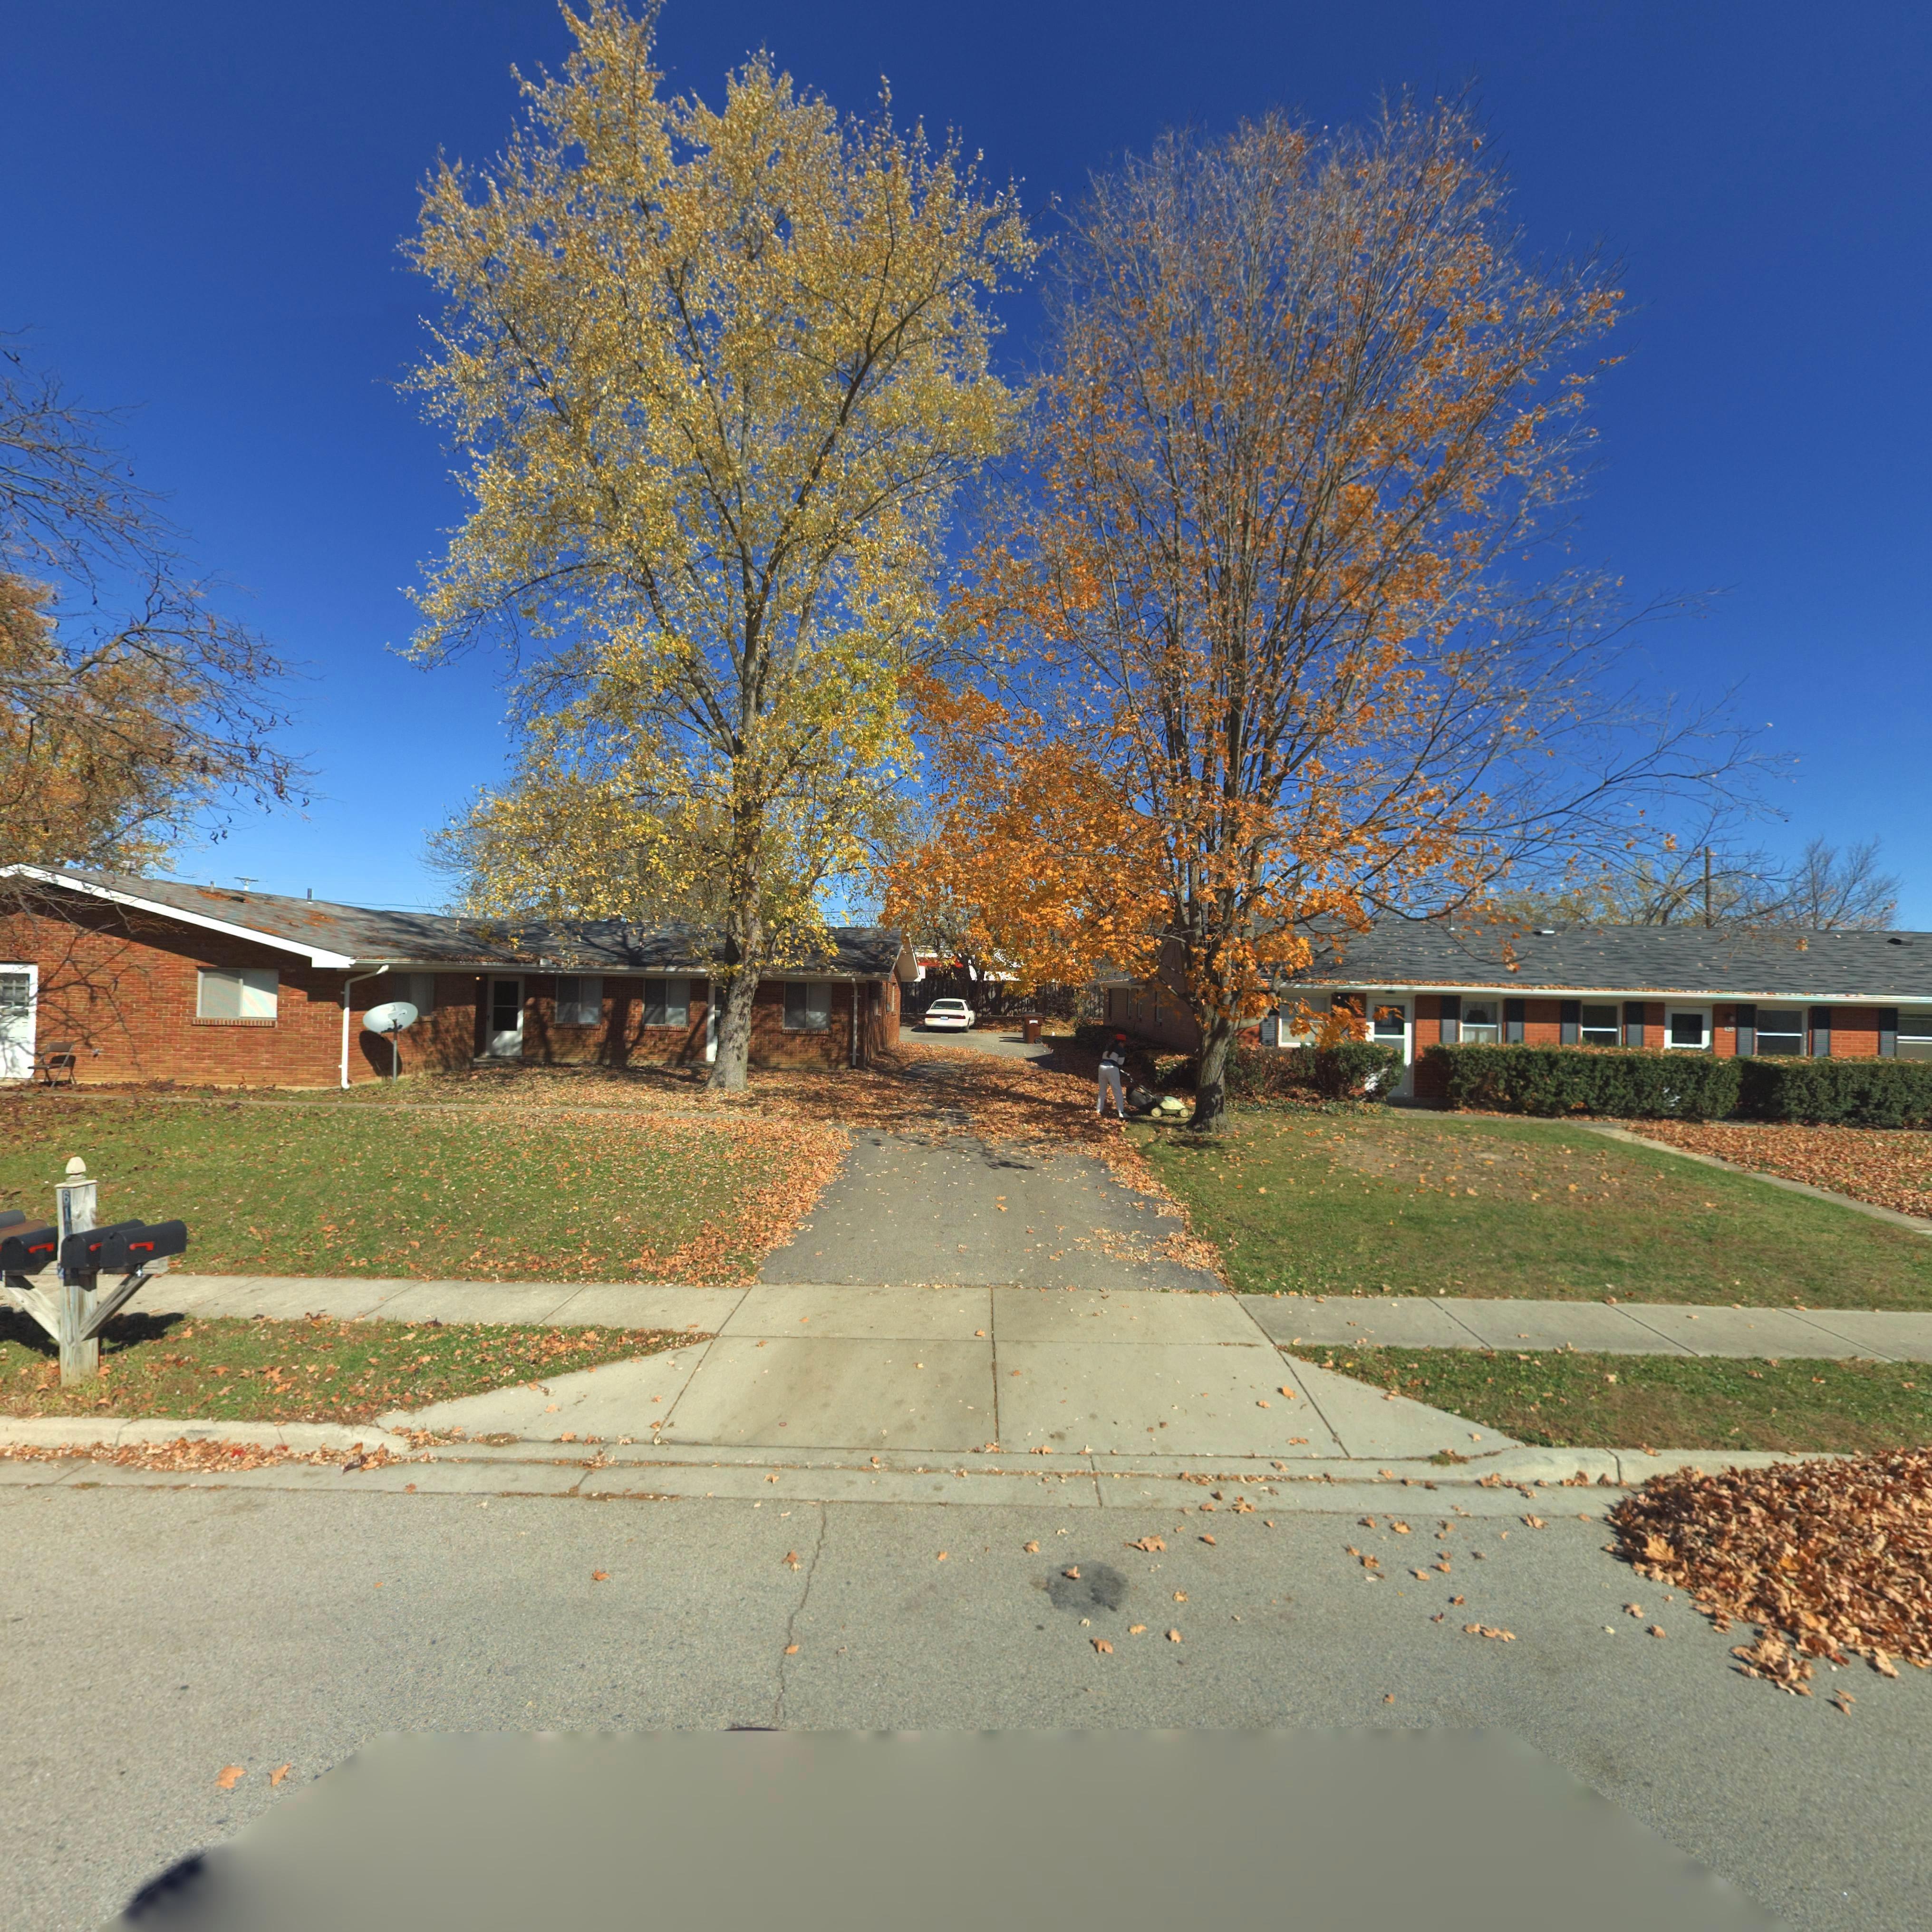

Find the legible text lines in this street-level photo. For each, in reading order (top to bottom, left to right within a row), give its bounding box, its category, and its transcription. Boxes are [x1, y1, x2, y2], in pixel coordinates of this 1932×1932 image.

[62, 1190, 72, 1237] StreetNumber: 610